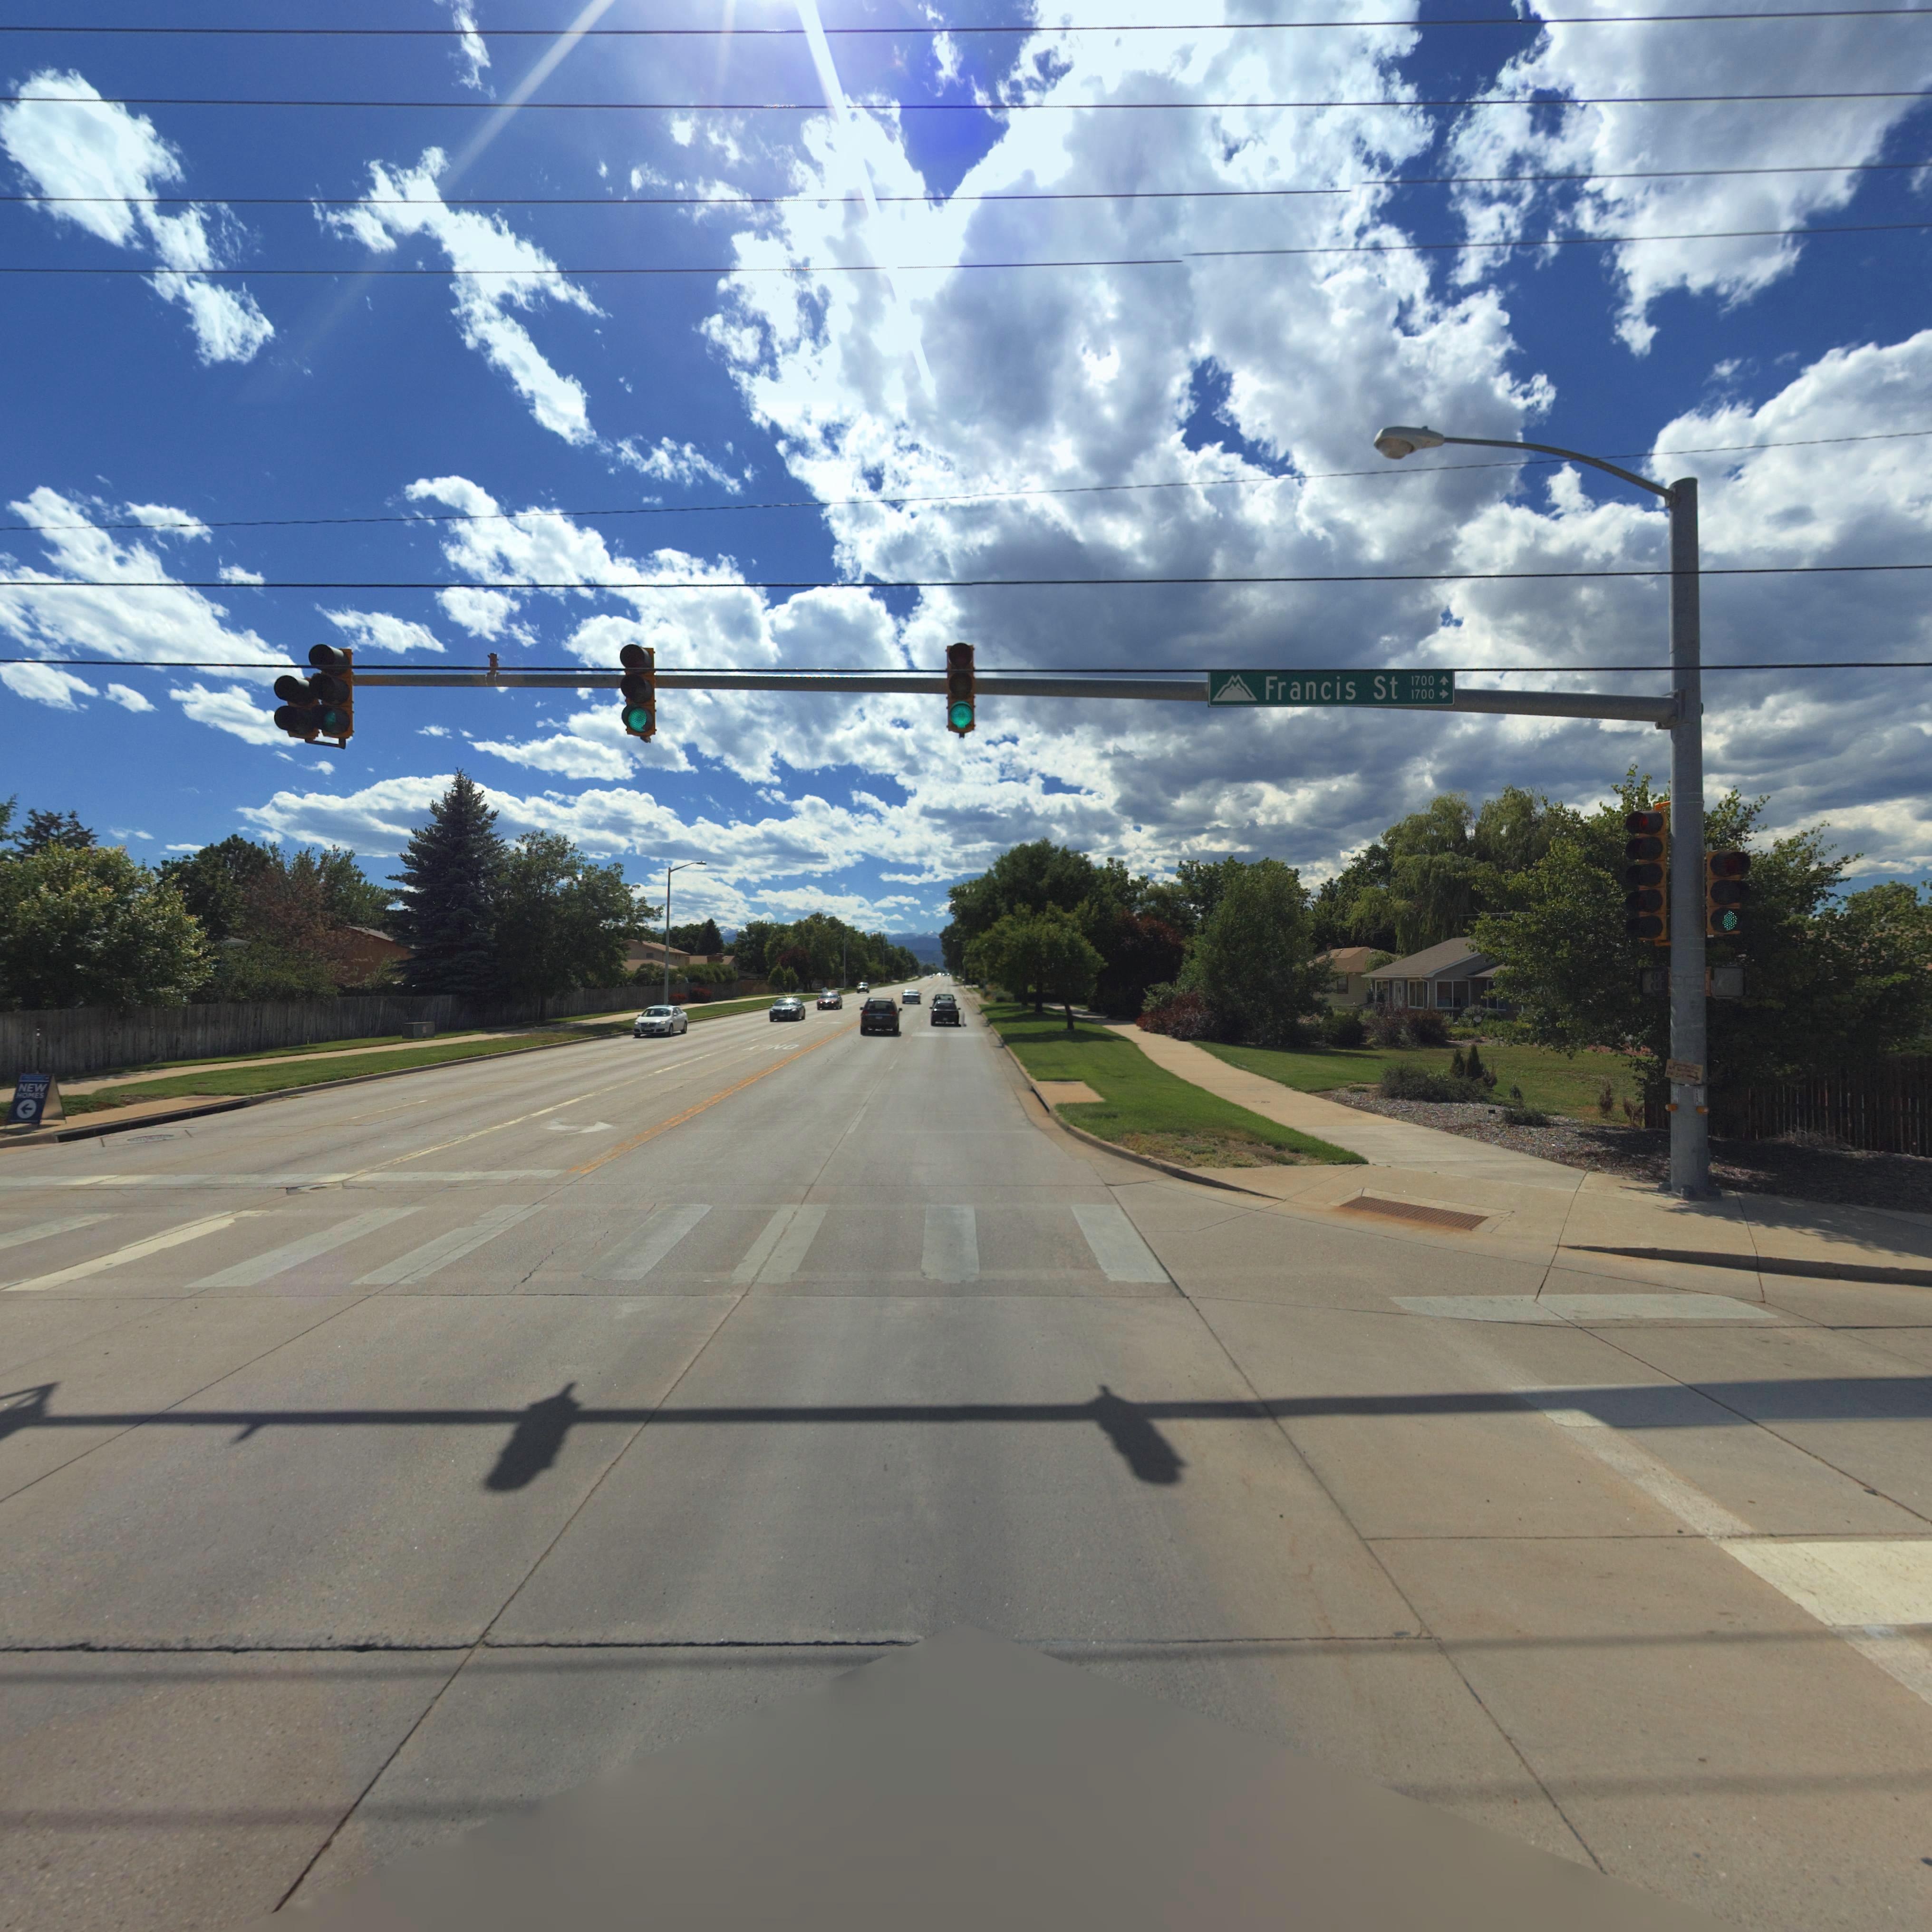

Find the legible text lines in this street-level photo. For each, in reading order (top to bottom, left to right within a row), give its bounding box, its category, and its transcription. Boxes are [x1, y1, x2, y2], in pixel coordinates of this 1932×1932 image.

[1410, 675, 1434, 686] StreetNumberRange: 1700
[1265, 674, 1398, 701] StreetName: Francis St
[1410, 688, 1449, 700] StreetNumberRange: 1700->